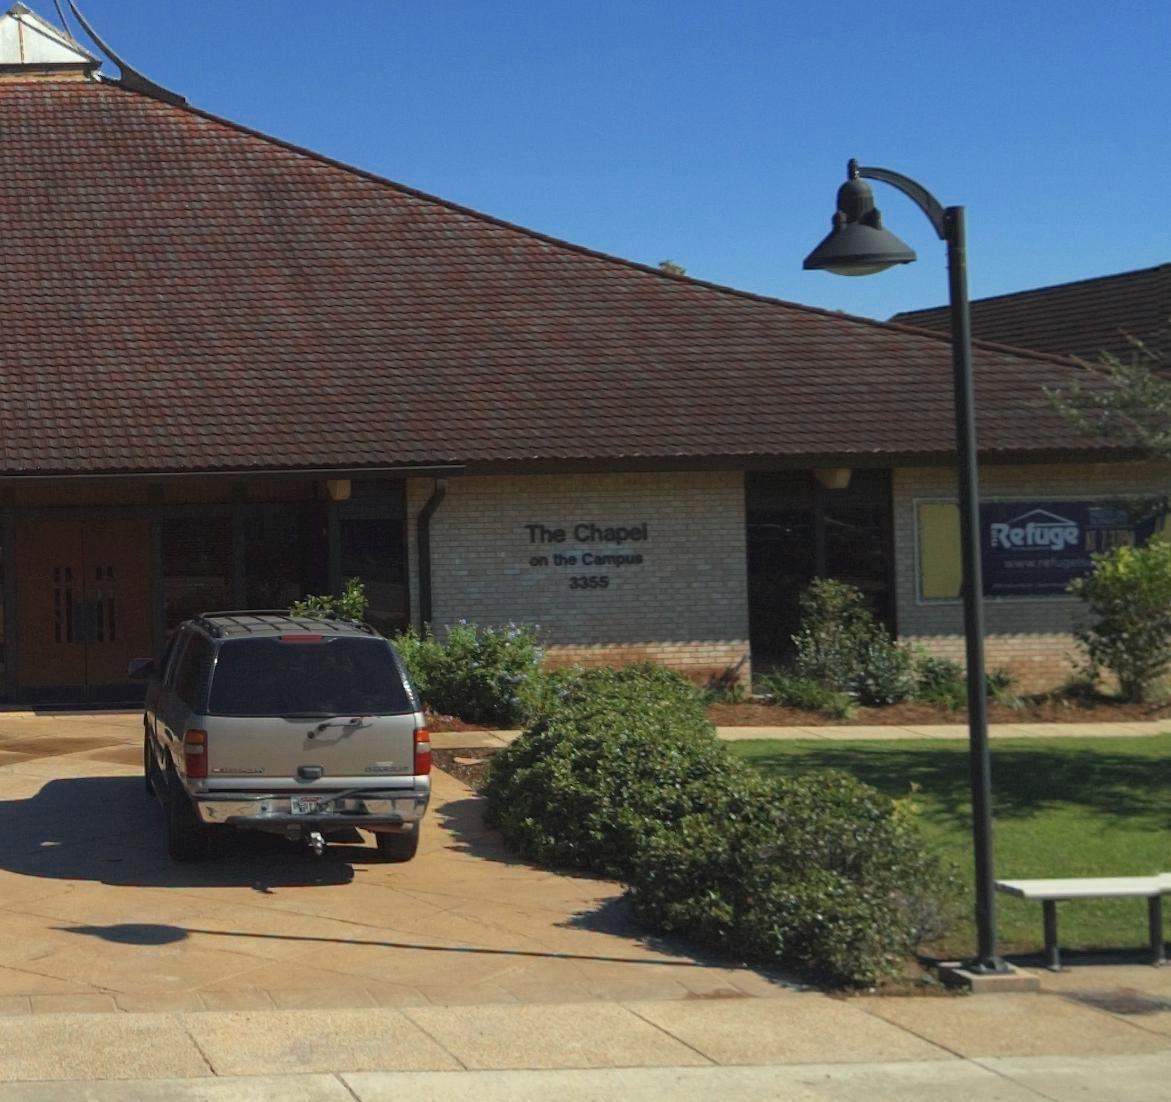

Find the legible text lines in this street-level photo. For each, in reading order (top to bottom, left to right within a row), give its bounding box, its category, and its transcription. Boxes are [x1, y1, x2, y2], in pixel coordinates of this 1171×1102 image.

[523, 521, 649, 546] BusinessName: The Chapel
[990, 521, 1080, 552] None: Refuge
[1083, 529, 1109, 553] None: AT 7
[527, 551, 644, 569] BusinessName: on the Campus
[1003, 553, 1080, 571] None: www.refuge
[568, 575, 610, 591] StreetNumber: 3355